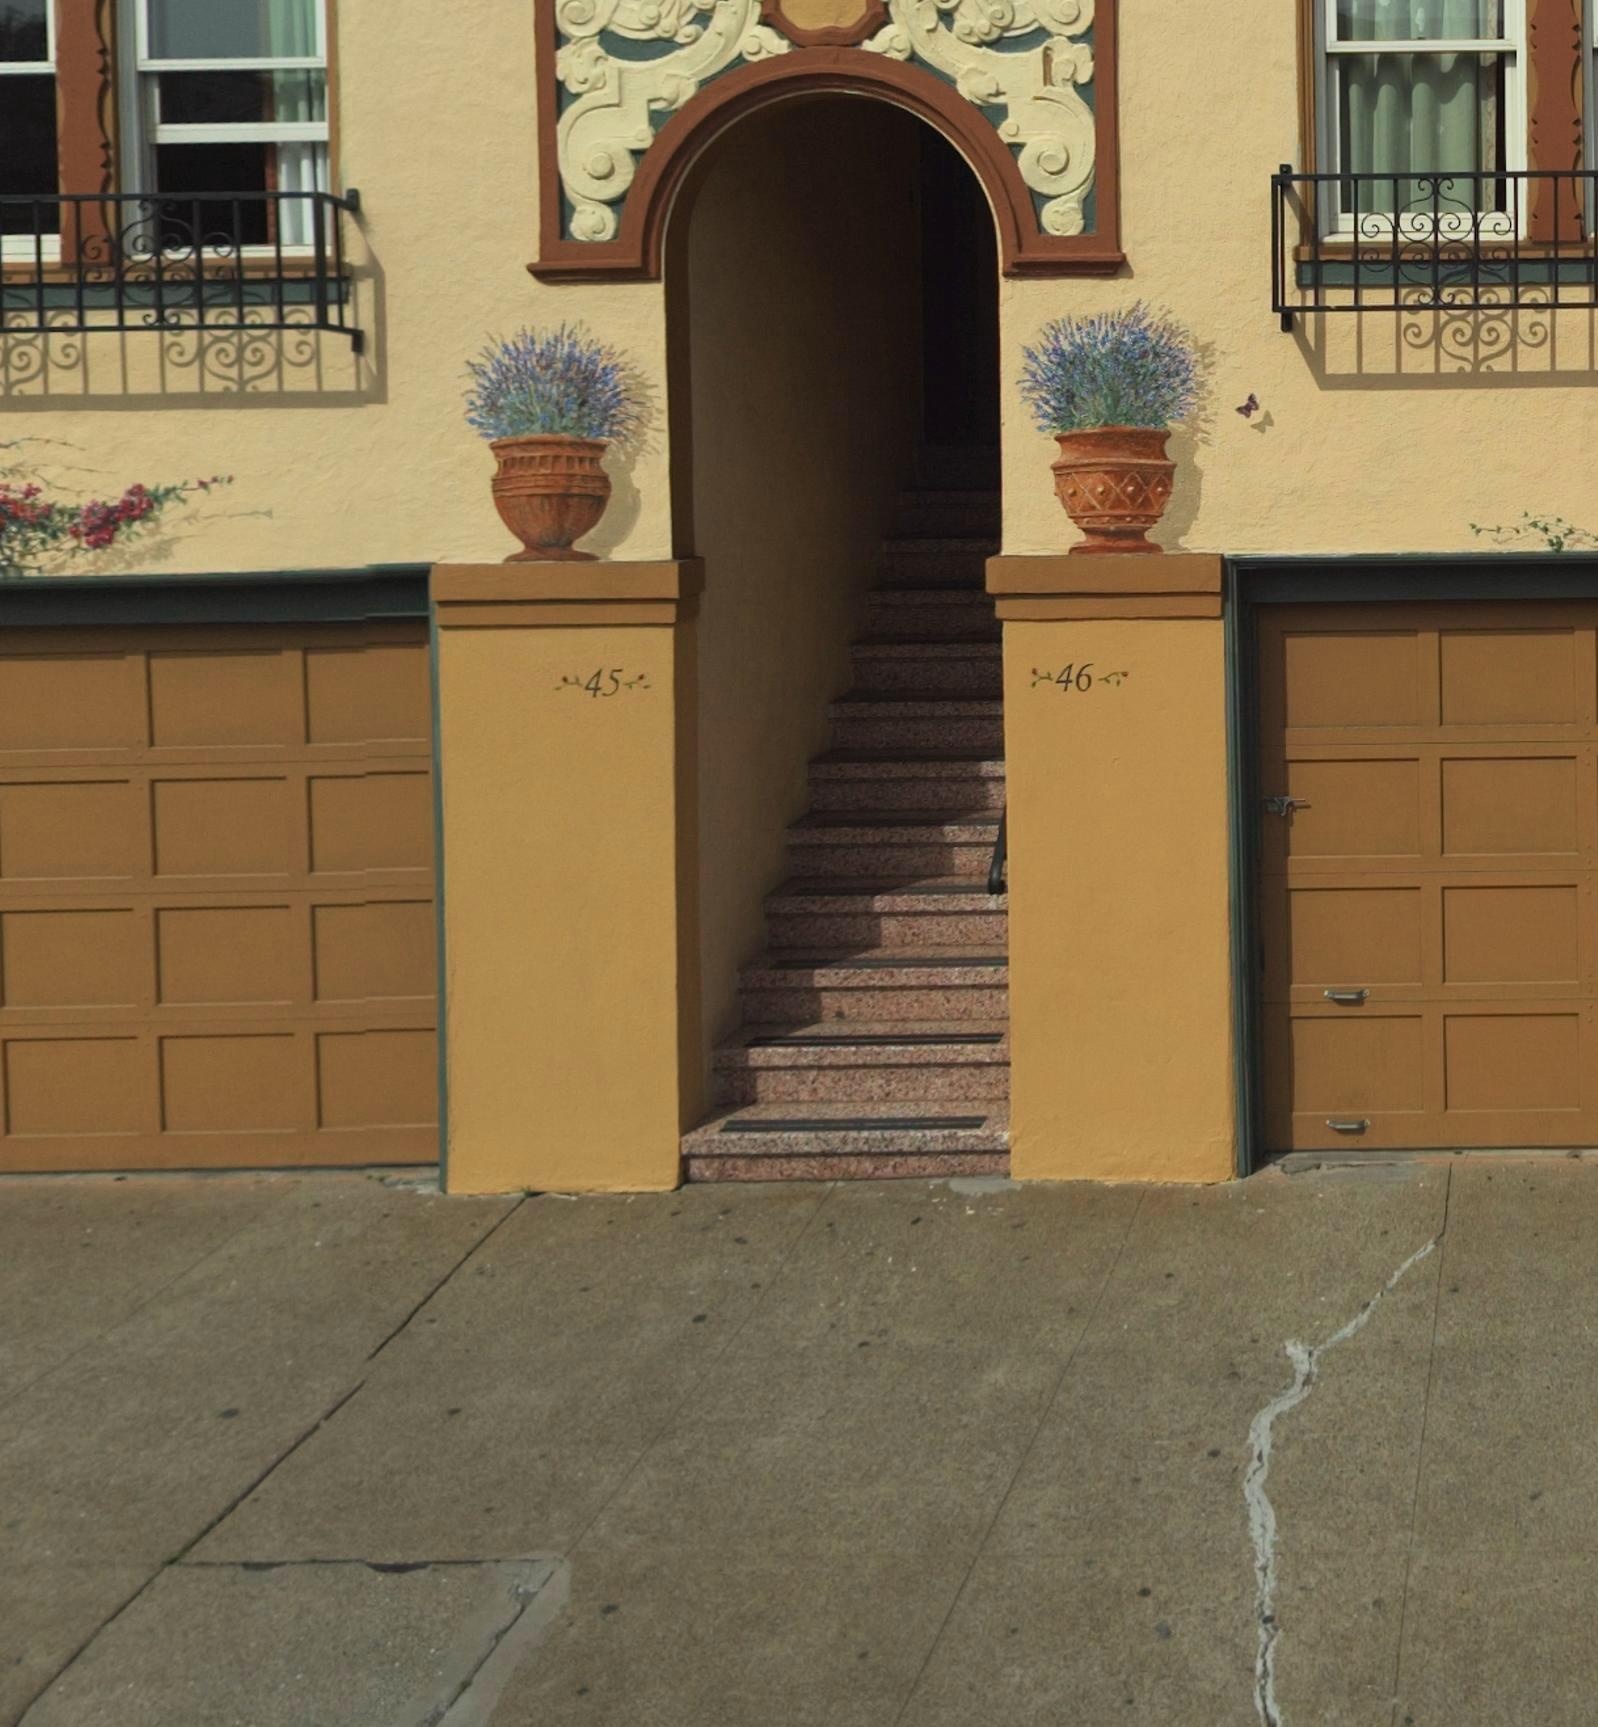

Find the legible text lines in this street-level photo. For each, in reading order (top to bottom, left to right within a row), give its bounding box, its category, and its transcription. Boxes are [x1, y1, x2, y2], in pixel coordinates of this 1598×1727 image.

[583, 668, 623, 698] StreetNumber: 45
[1055, 662, 1094, 692] StreetNumber: 46